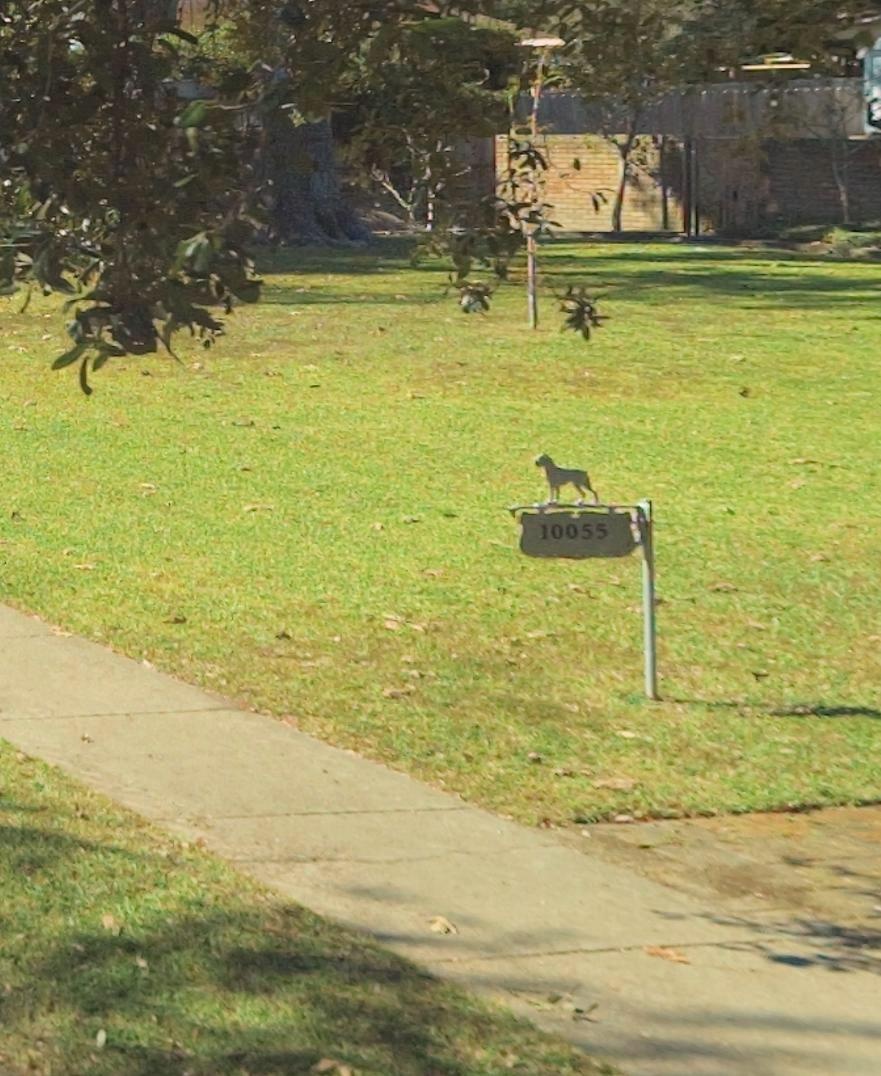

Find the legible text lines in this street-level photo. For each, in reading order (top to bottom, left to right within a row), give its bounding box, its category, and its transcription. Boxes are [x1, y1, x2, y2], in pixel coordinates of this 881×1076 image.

[538, 522, 611, 541] StreetNumber: 10055